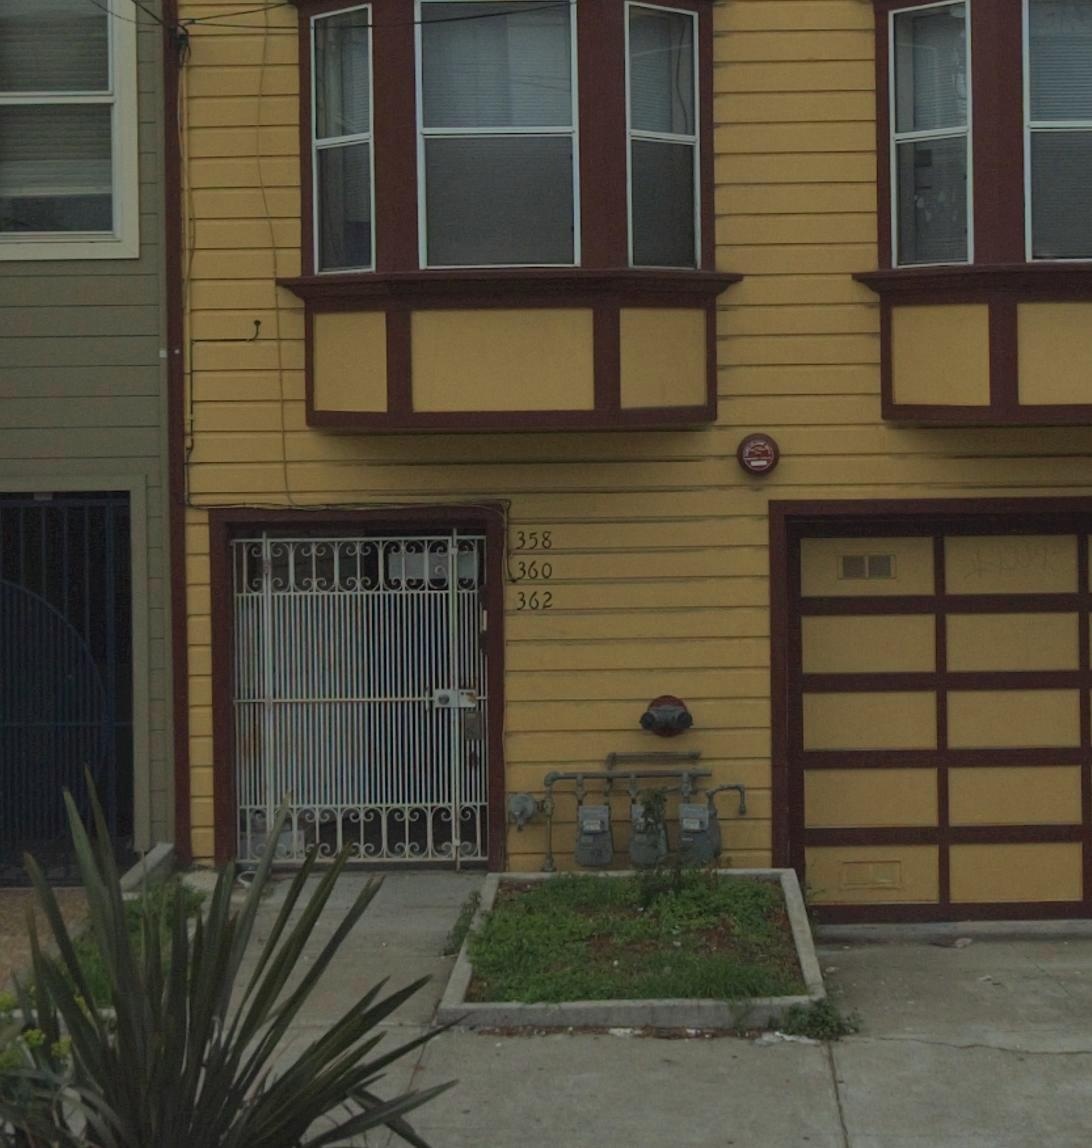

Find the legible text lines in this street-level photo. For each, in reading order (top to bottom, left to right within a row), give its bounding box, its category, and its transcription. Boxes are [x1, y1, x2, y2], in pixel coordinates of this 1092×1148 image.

[514, 530, 552, 550] StreetNumber: 358
[516, 560, 553, 580] StreetNumber: 360
[515, 589, 553, 611] StreetNumber: 362